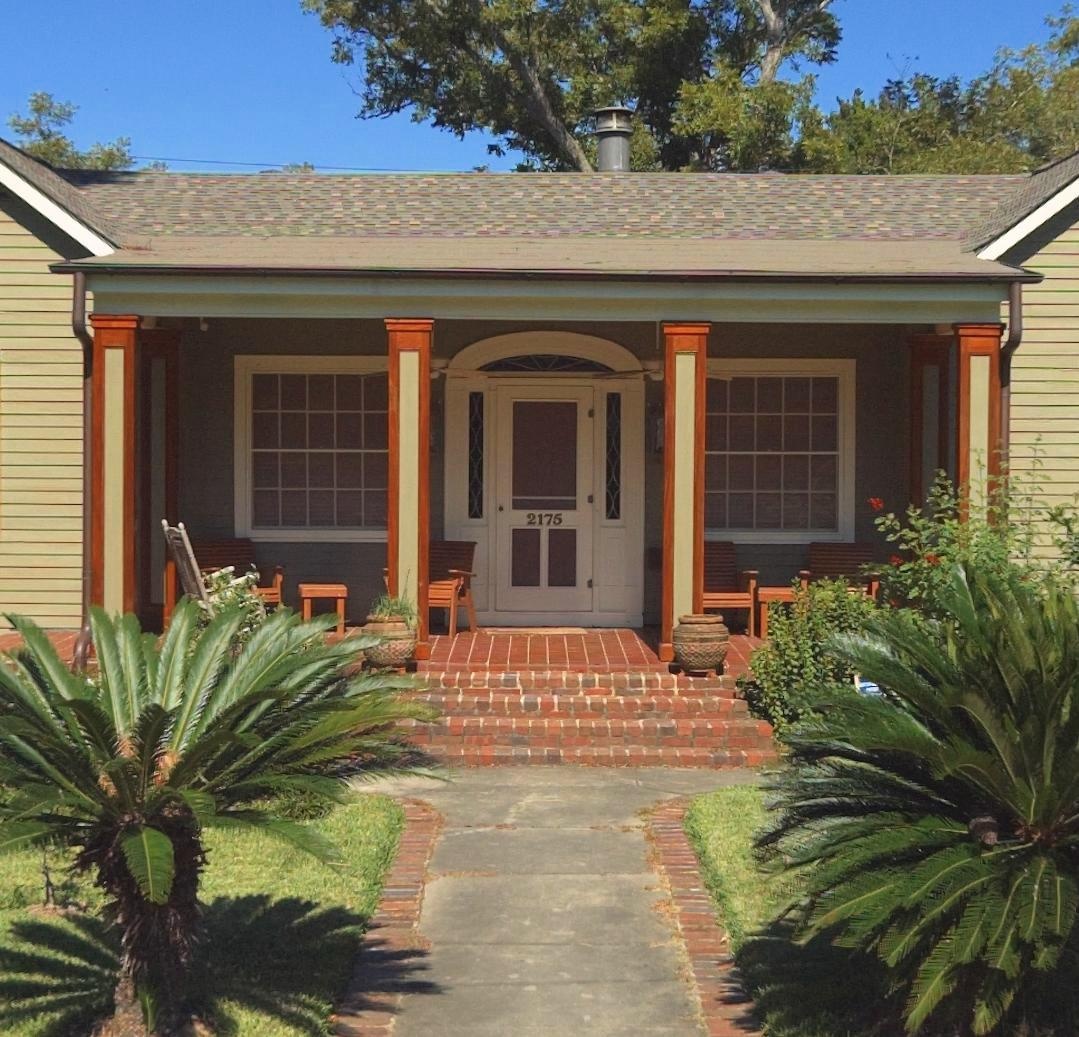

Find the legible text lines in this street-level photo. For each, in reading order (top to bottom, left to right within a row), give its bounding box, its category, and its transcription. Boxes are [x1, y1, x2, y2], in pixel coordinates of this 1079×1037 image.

[525, 511, 564, 527] StreetNumber: 2175